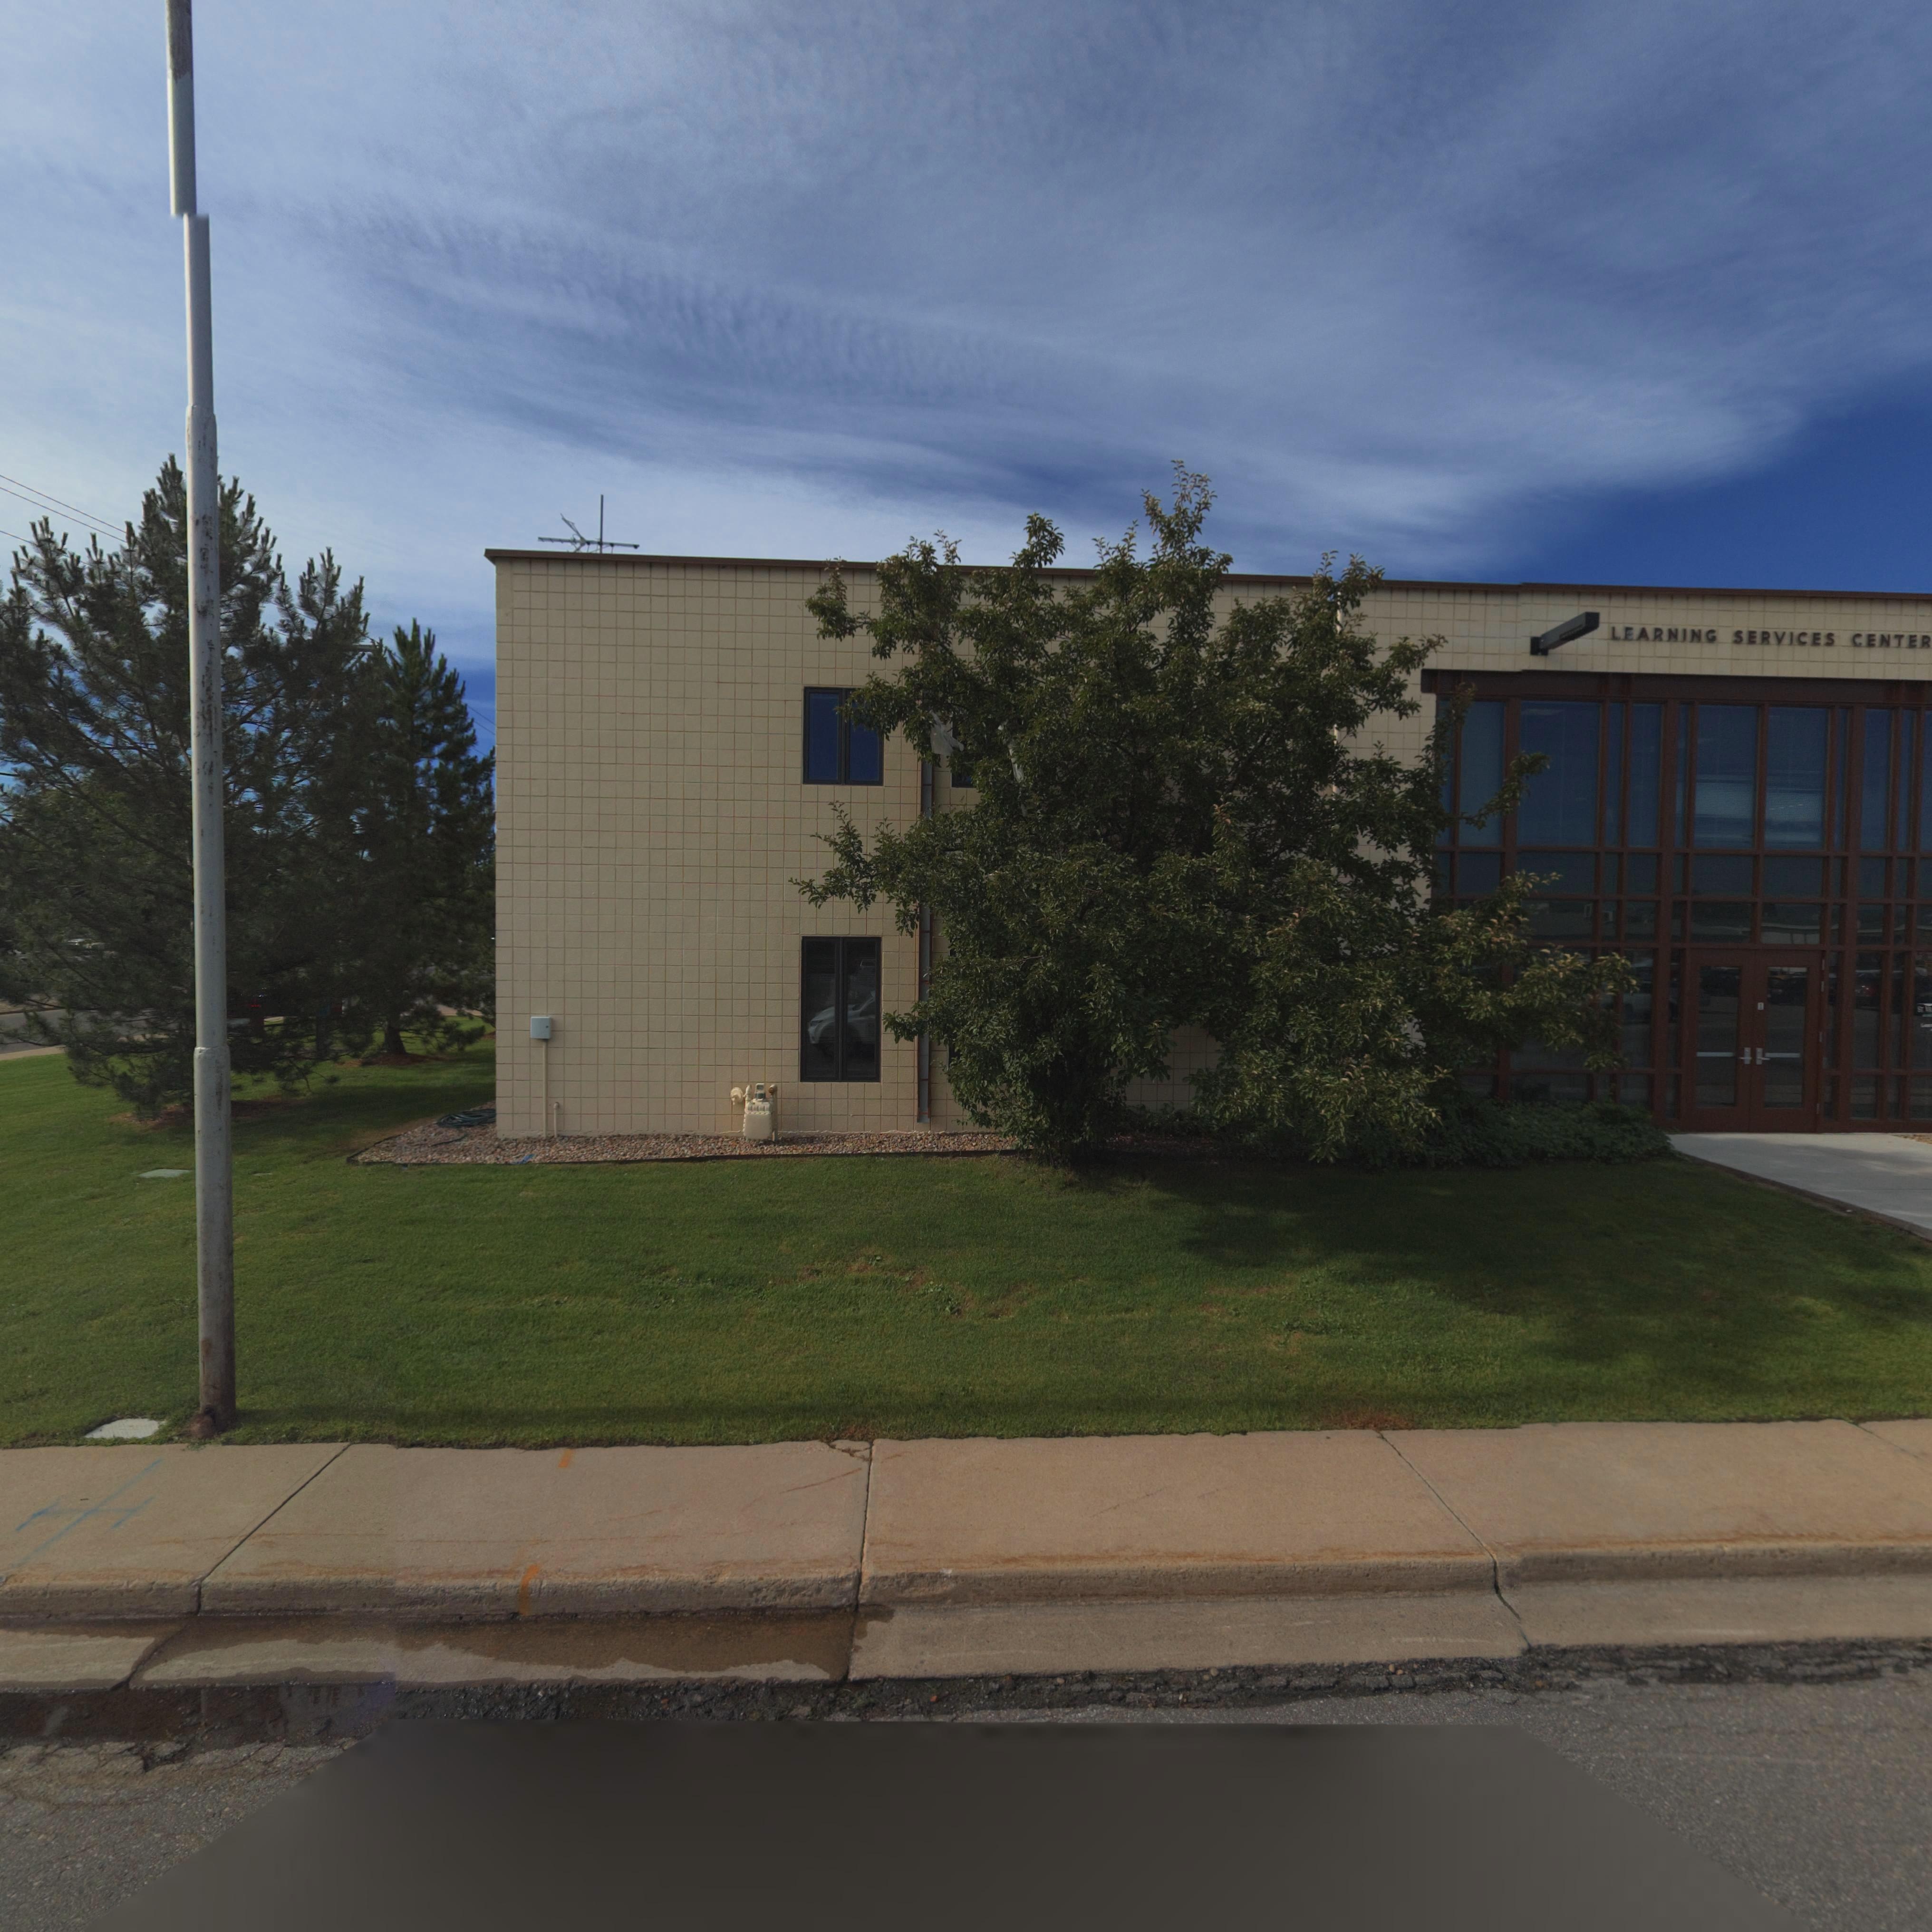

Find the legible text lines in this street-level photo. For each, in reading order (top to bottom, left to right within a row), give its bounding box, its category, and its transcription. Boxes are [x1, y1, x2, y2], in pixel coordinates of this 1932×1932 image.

[1610, 626, 1932, 648] BusinessName: LEARNING SERVICES CENTER